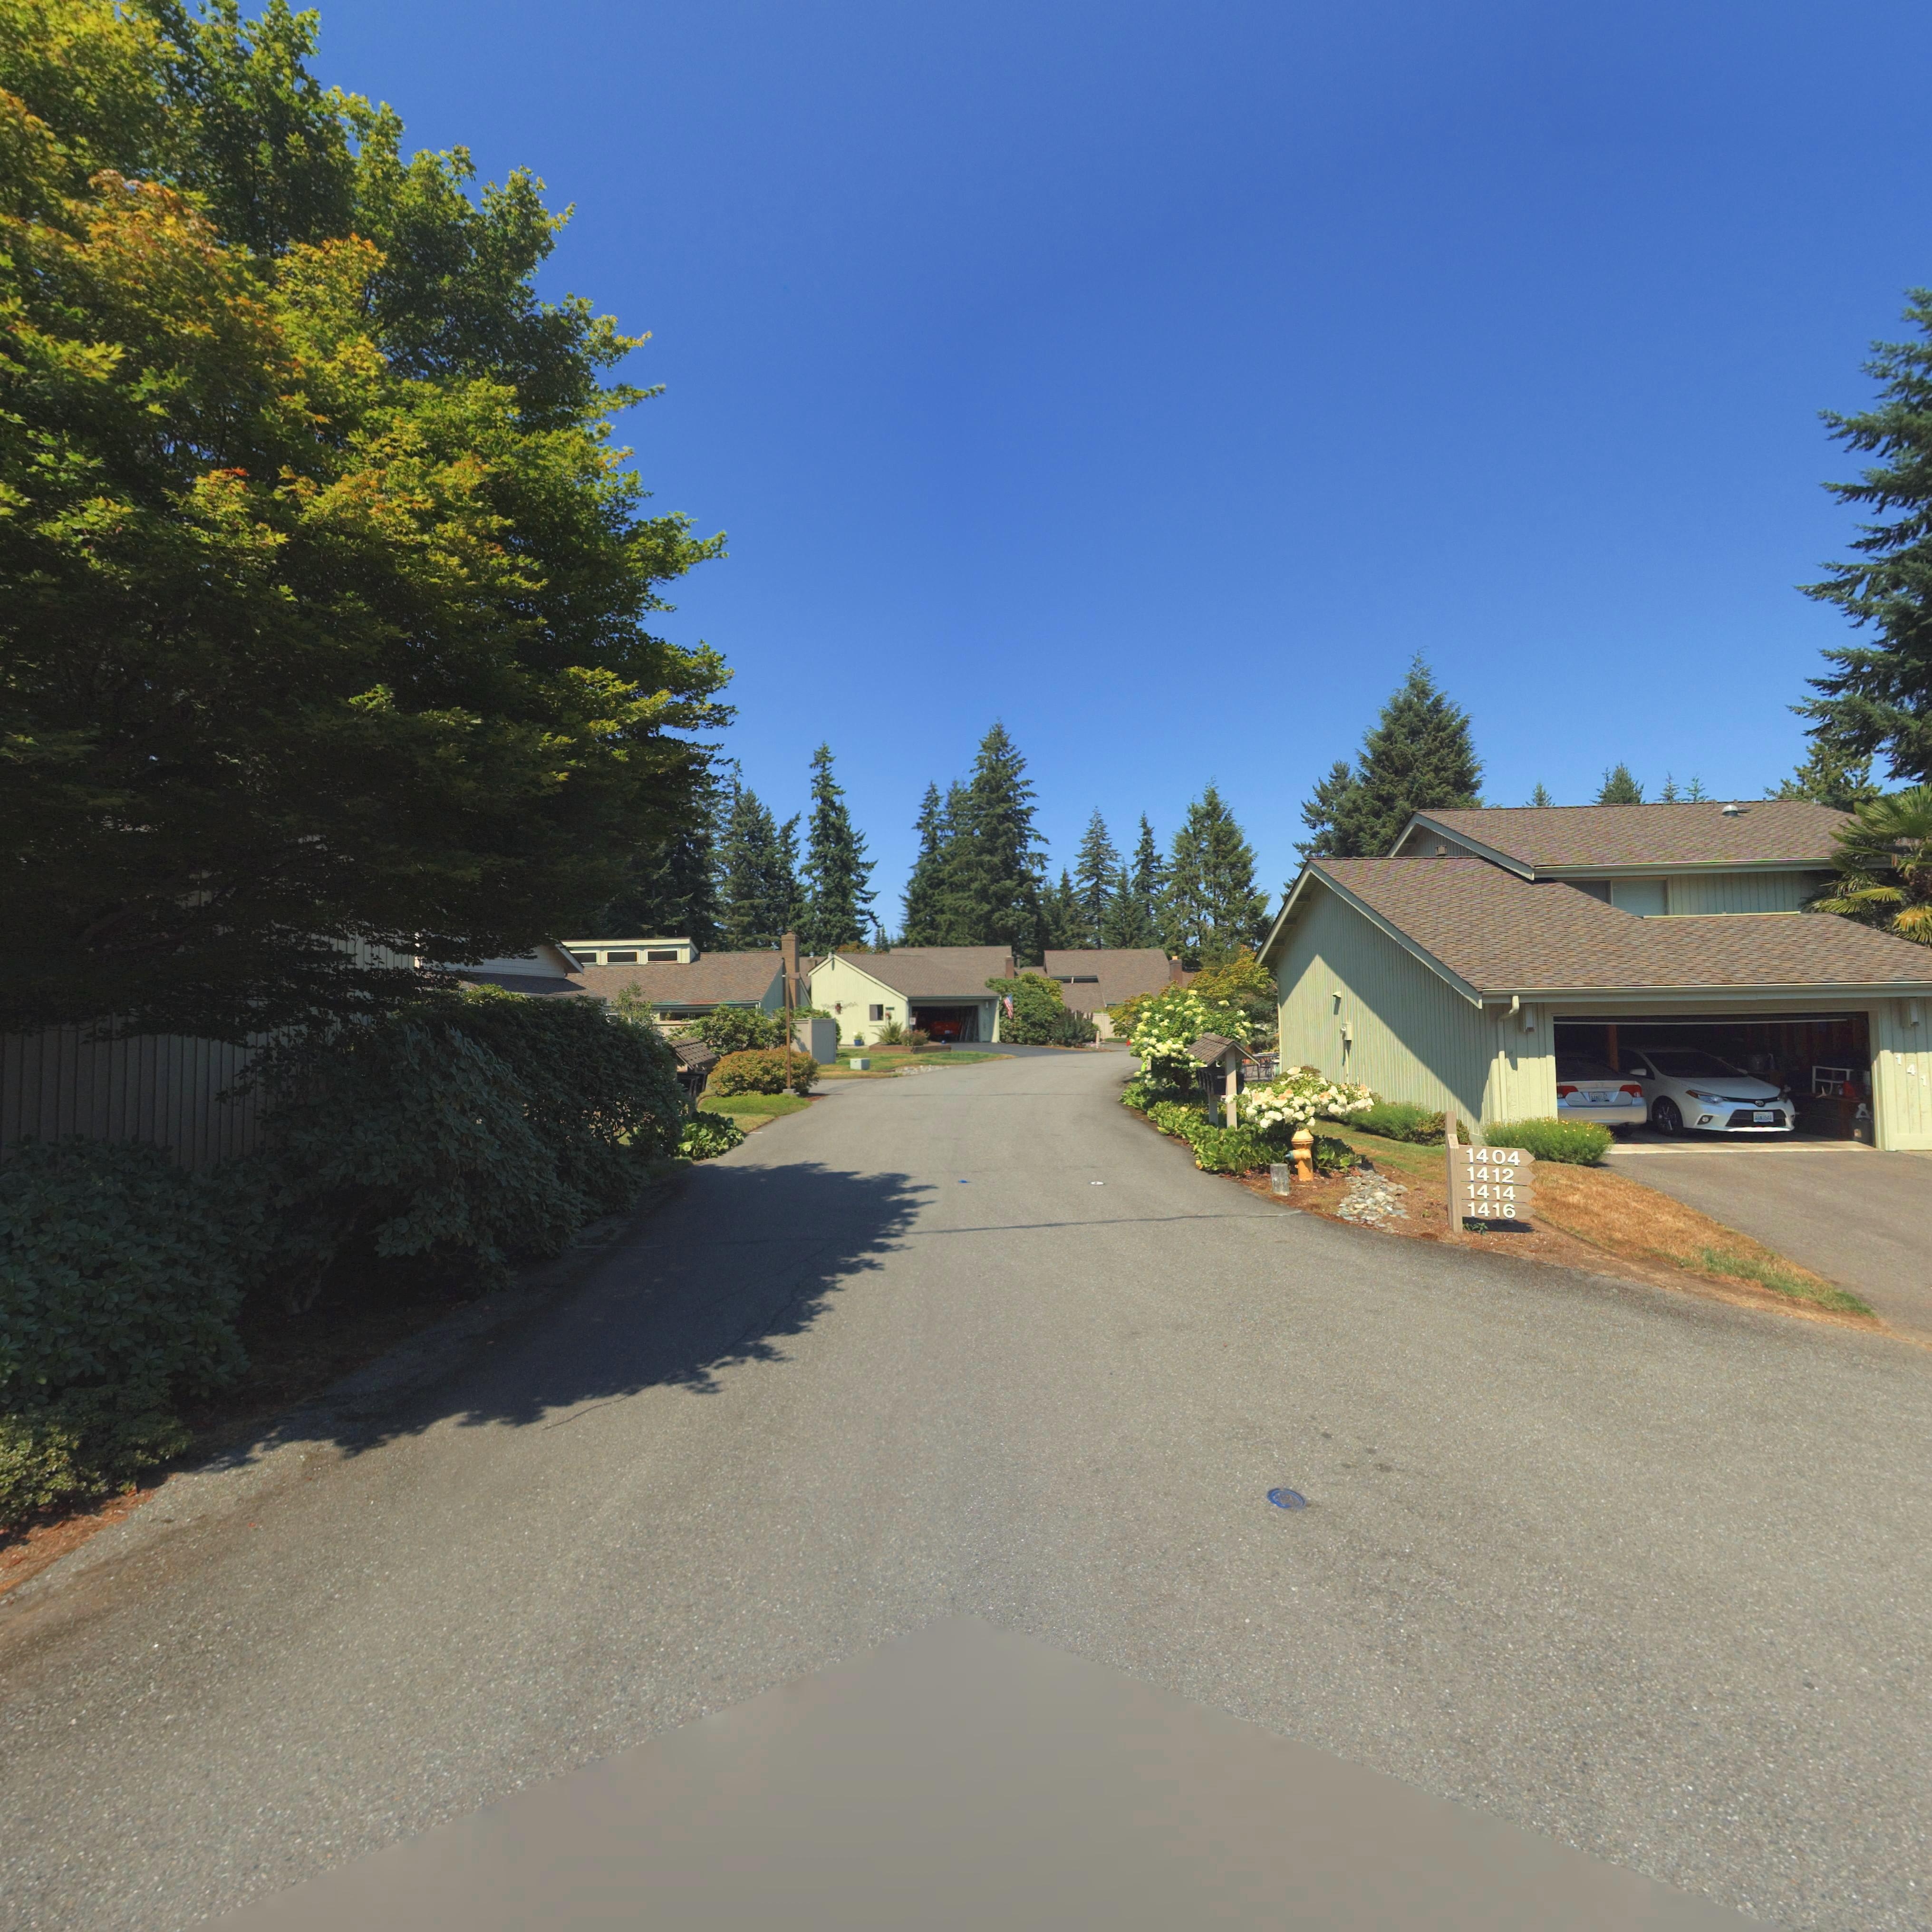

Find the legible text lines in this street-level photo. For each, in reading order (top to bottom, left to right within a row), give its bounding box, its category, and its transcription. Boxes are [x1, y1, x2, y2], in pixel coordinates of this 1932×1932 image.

[1466, 1148, 1521, 1166] StreetNumber: 1404
[1467, 1166, 1514, 1183] StreetNumber: 1412
[1468, 1184, 1515, 1201] StreetNumber: 1414
[1468, 1201, 1516, 1218] StreetNumber: 1416